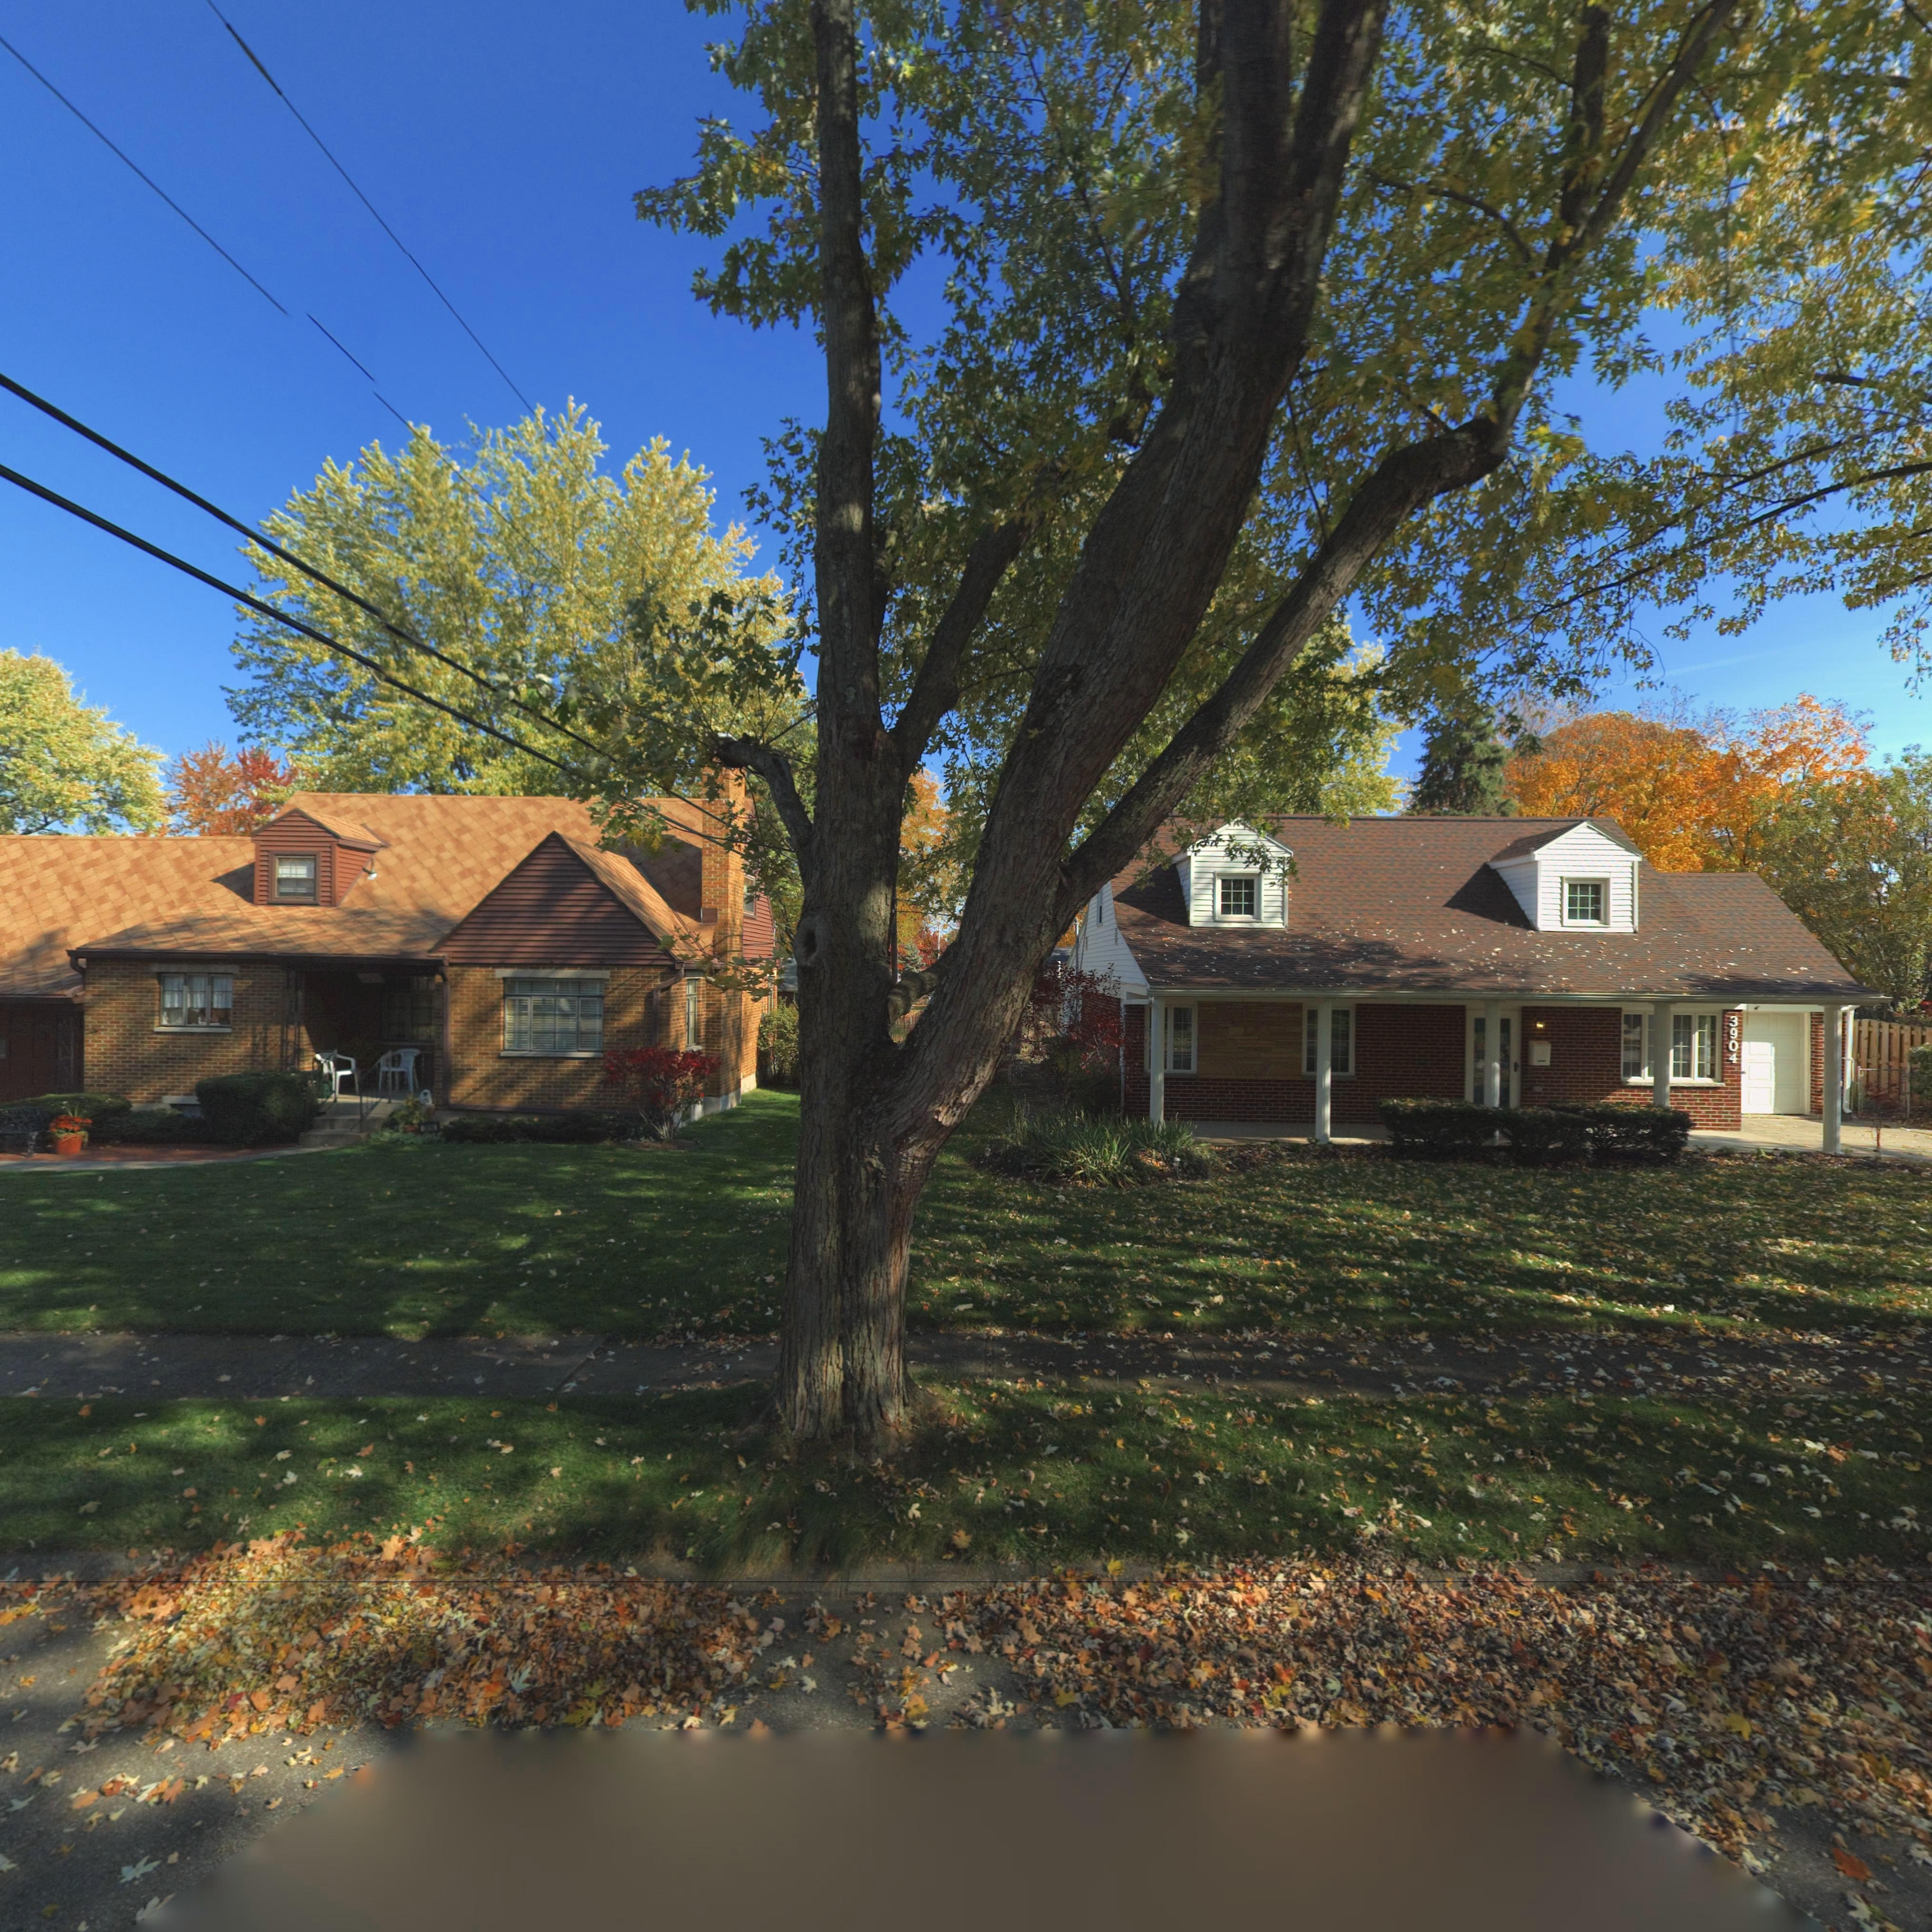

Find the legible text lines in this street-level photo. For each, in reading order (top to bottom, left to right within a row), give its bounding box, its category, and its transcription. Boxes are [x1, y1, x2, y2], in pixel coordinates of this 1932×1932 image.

[1726, 1014, 1740, 1065] StreetNumber: 3904